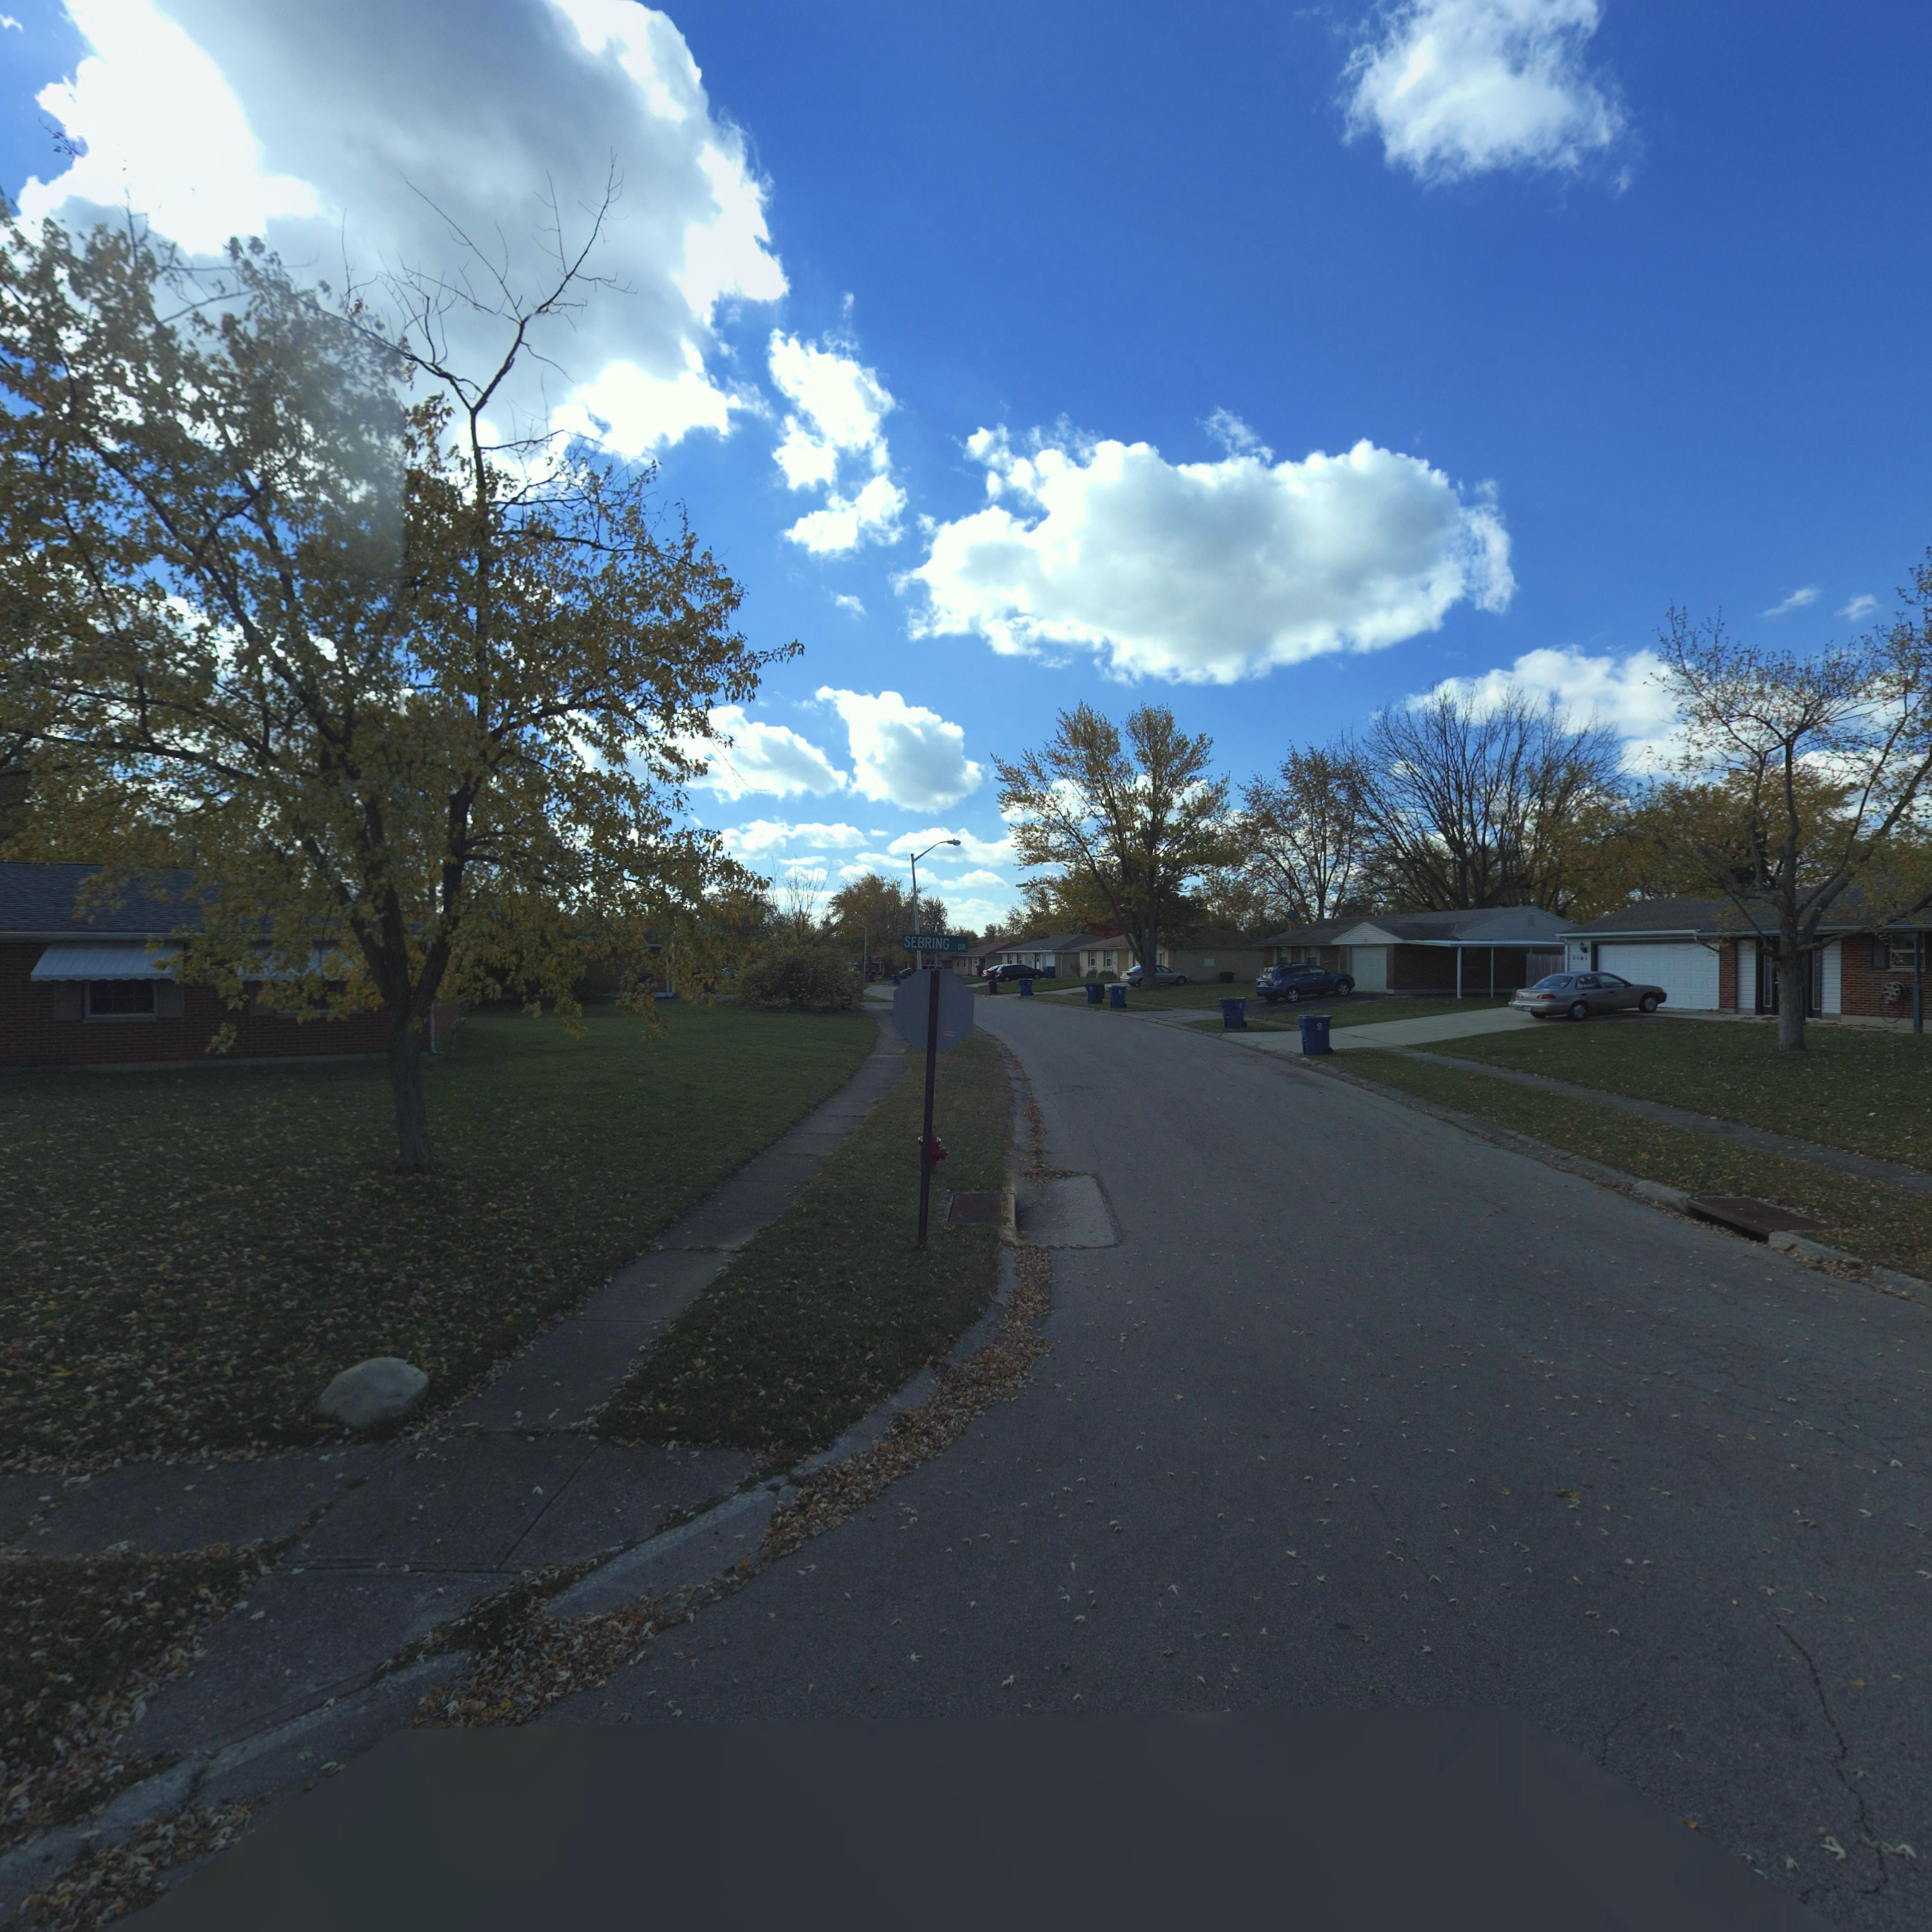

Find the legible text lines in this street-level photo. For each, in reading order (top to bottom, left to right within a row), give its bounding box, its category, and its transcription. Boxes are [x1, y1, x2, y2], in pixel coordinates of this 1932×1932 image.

[903, 935, 966, 951] StreetName: SEBRING DR
[1572, 956, 1588, 961] StreetNumber: 7781